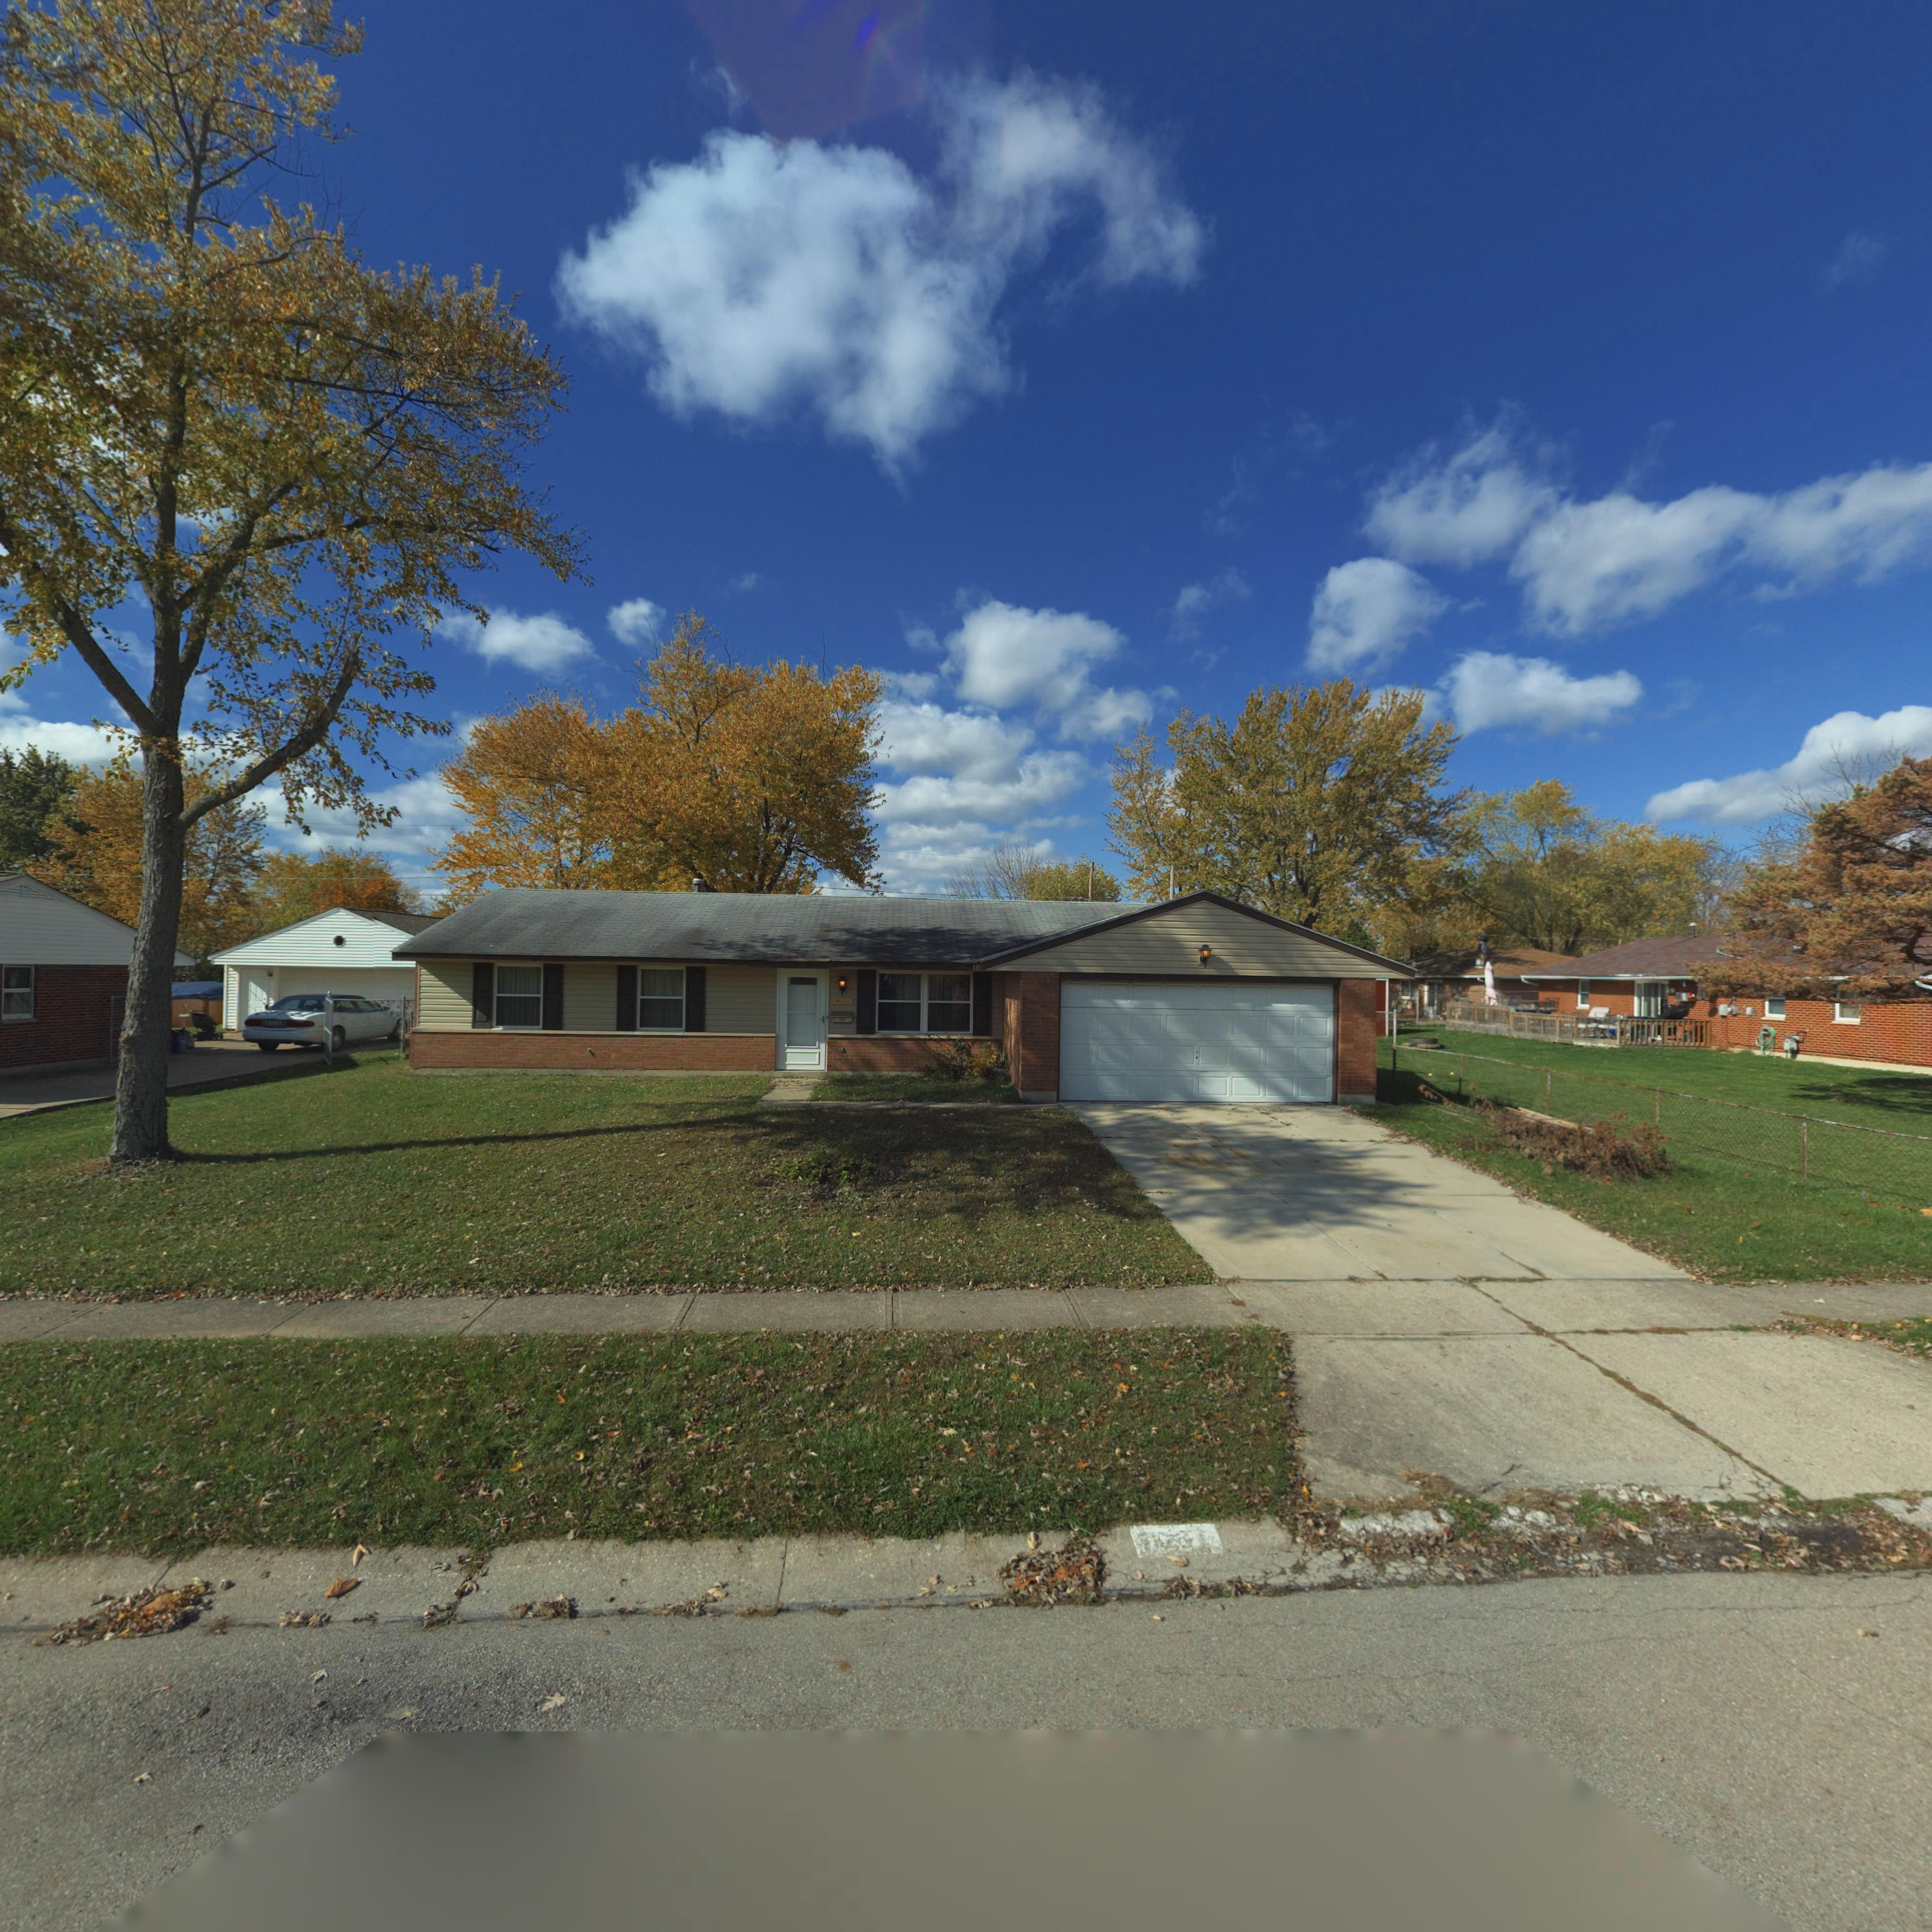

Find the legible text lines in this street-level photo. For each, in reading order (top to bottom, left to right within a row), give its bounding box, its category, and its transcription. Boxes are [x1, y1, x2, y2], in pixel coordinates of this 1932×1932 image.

[1134, 1527, 1215, 1555] StreetNumber: 7**1